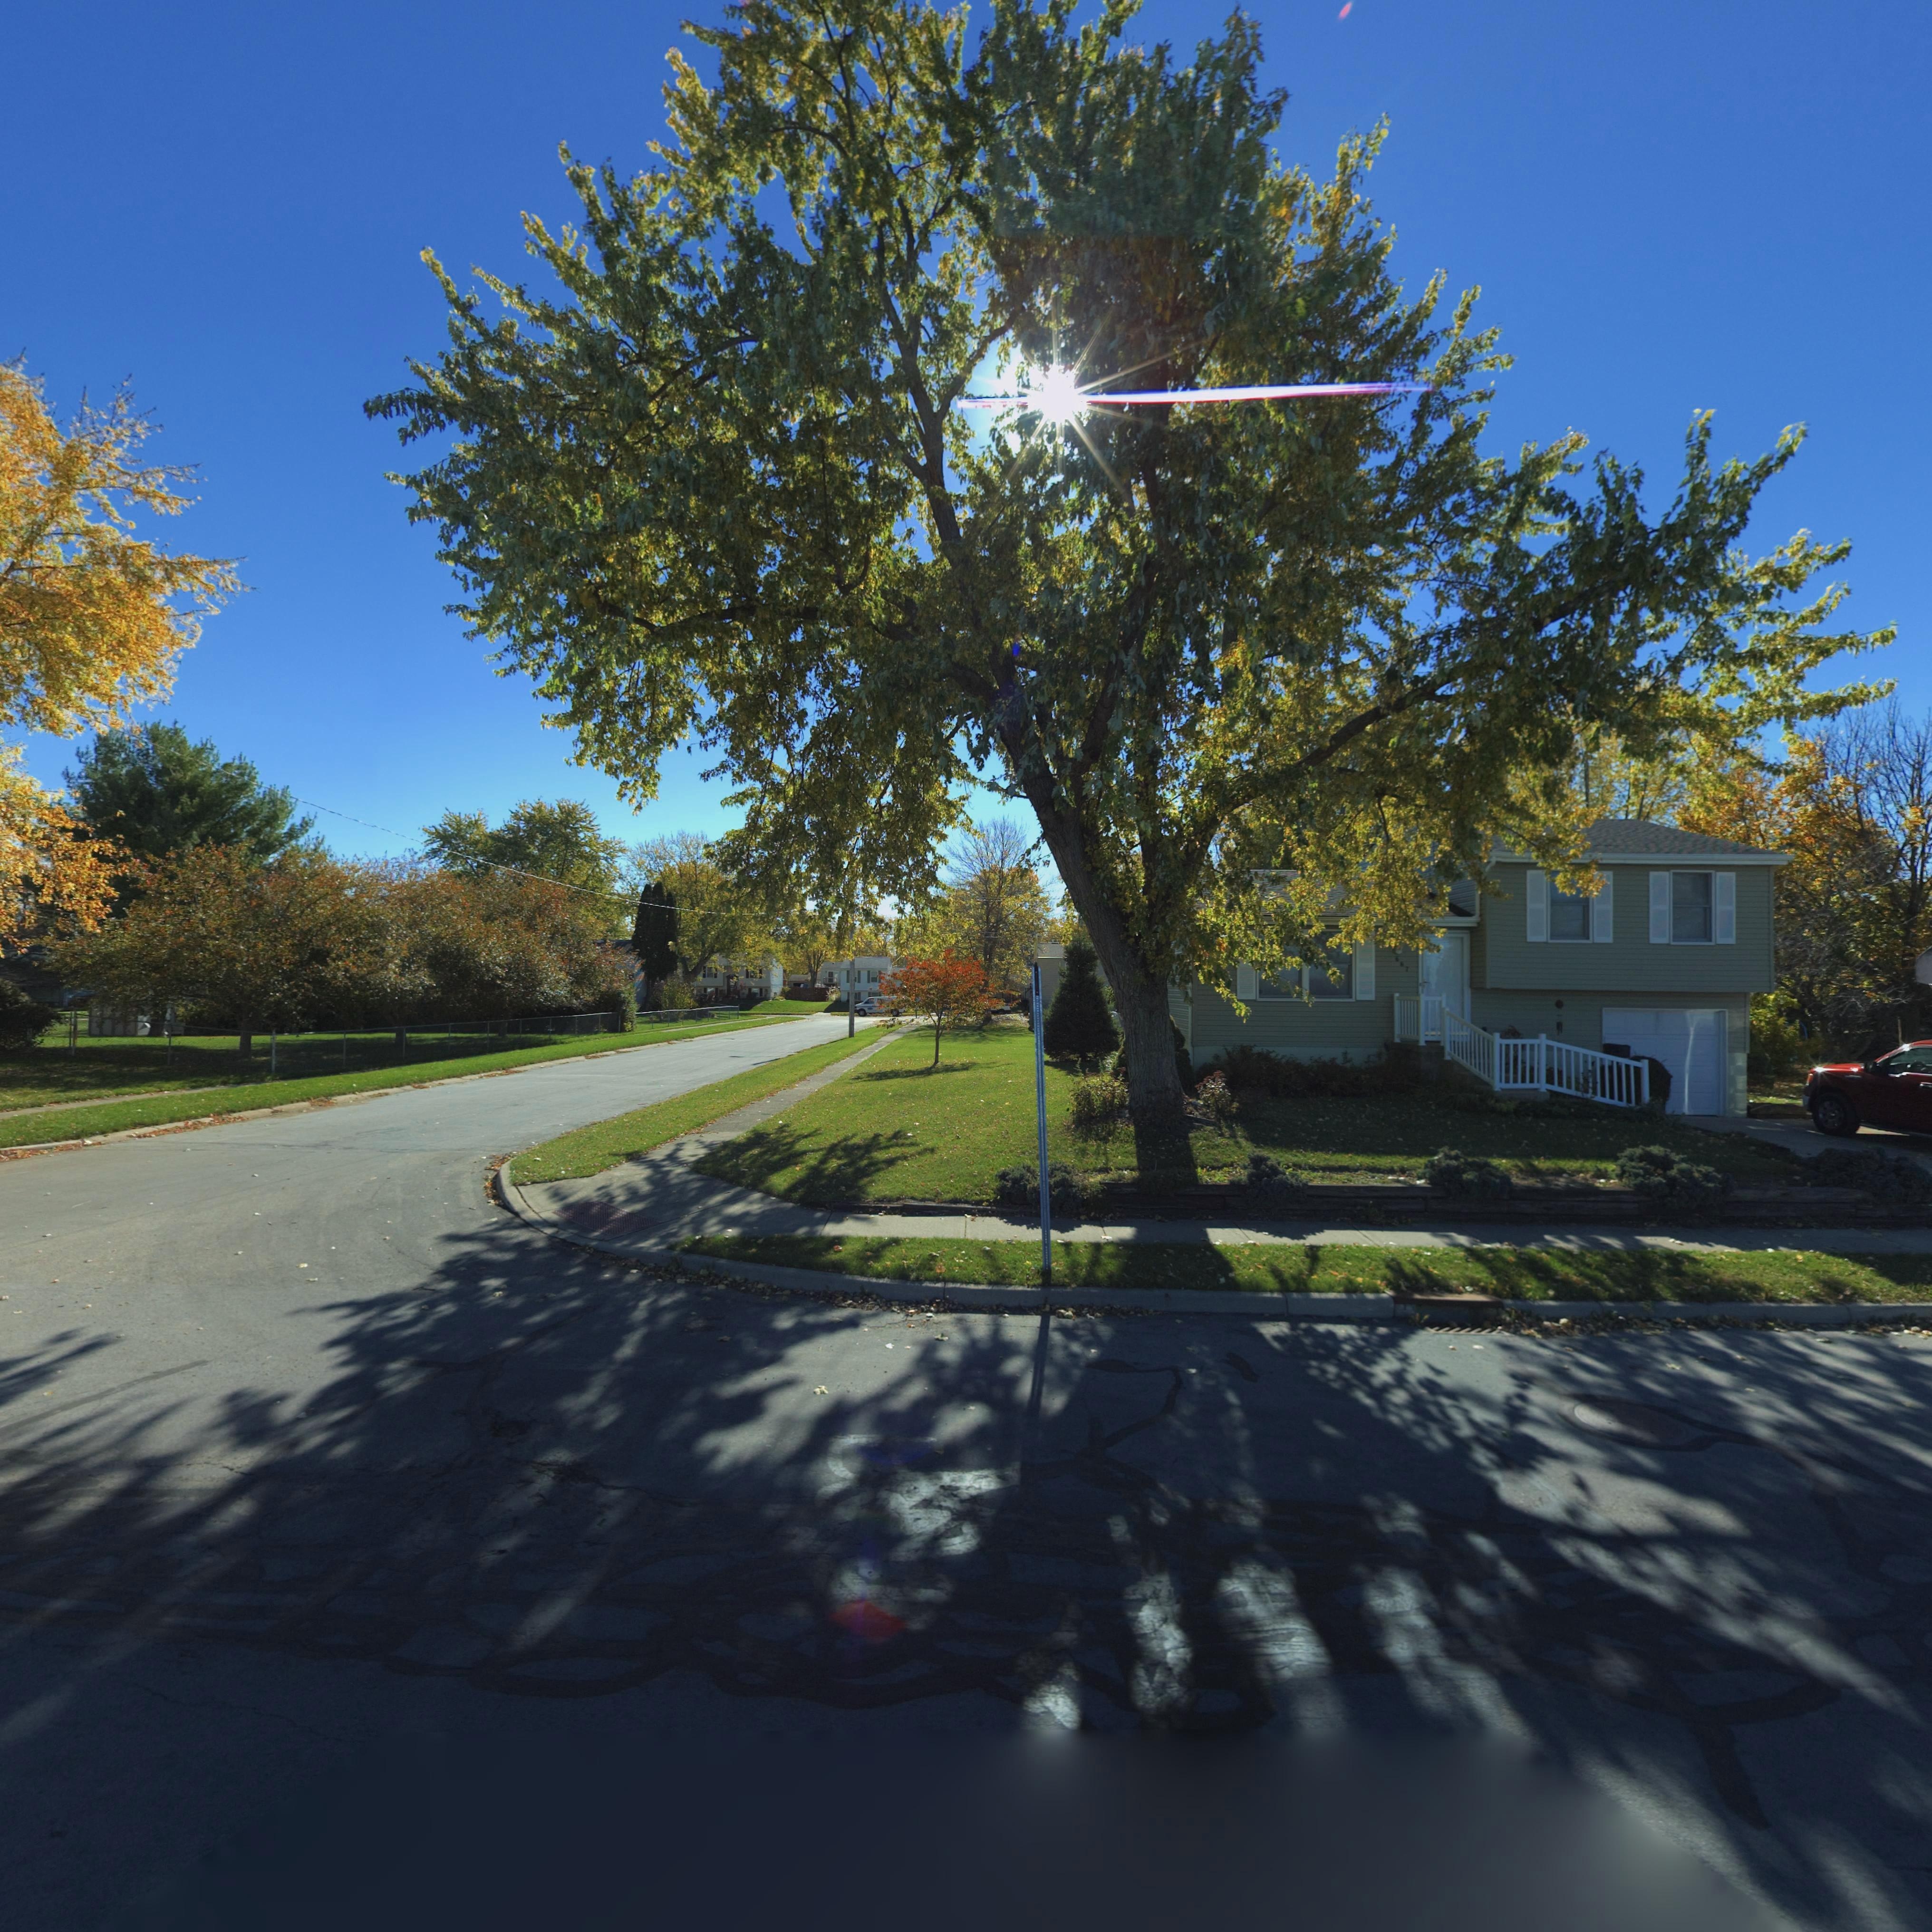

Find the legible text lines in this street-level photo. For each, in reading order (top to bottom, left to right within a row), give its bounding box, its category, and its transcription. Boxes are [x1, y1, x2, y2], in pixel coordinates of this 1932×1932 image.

[1395, 956, 1410, 973] StreetNumber: 667